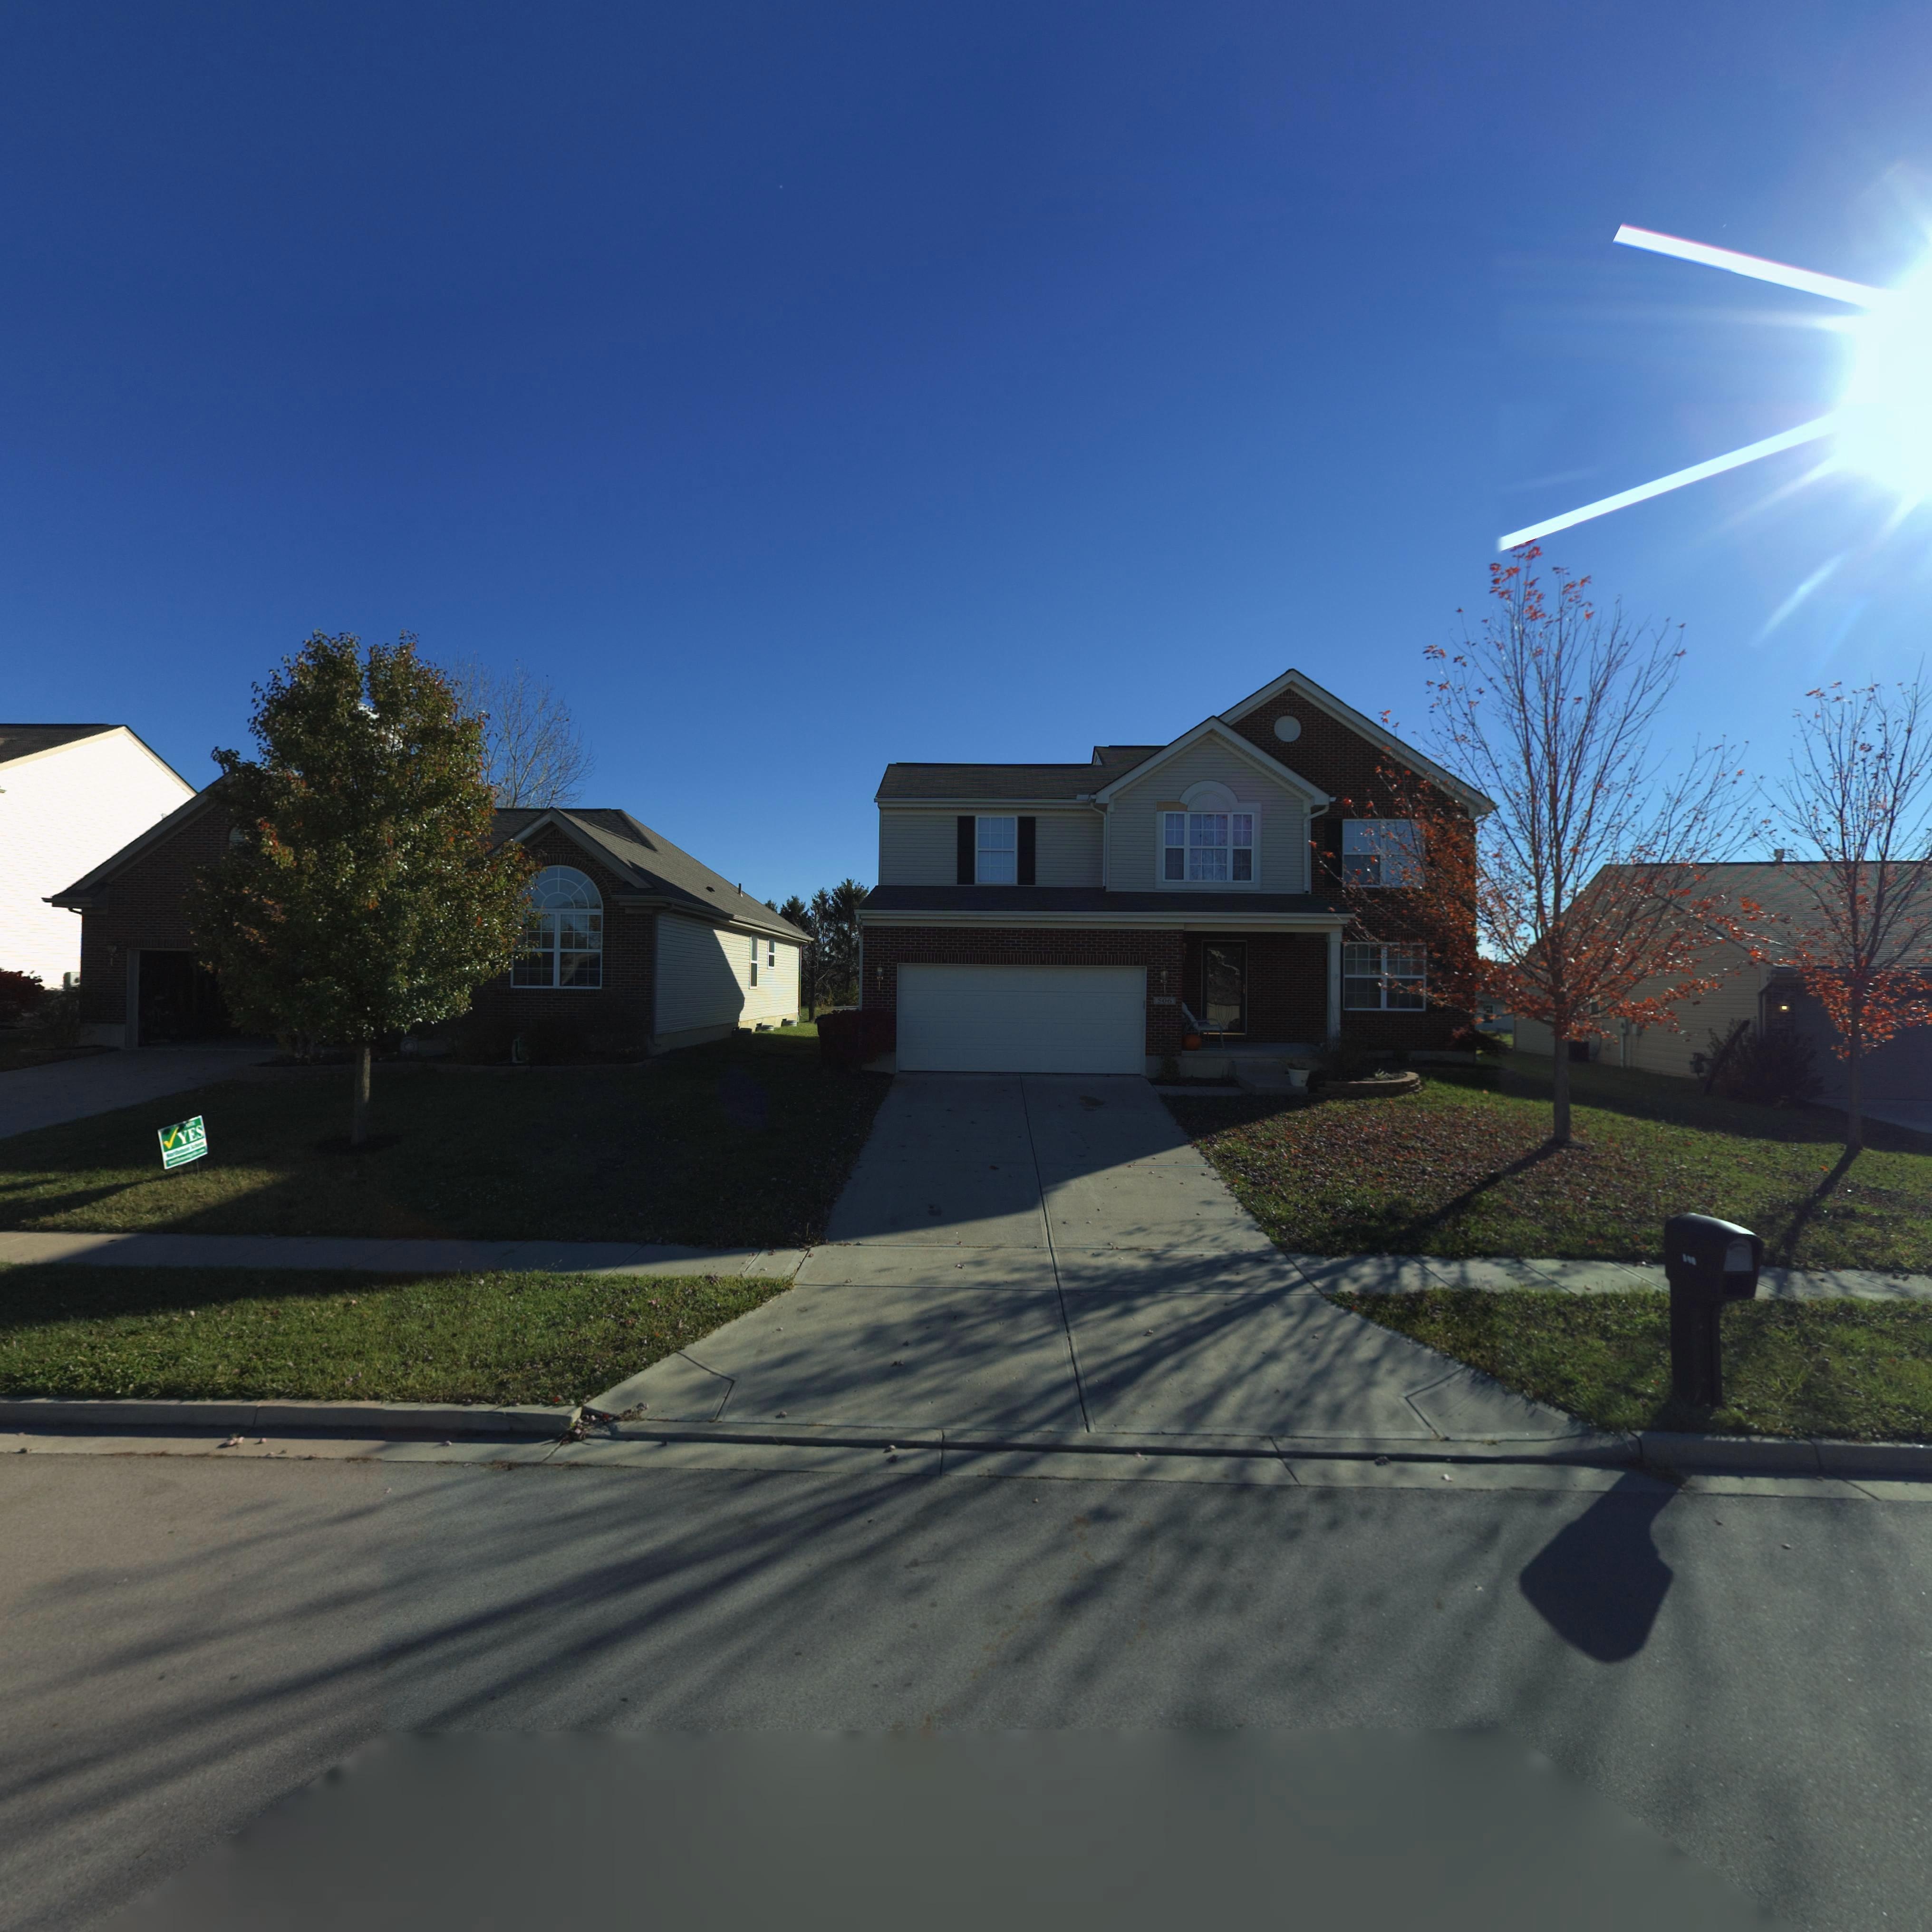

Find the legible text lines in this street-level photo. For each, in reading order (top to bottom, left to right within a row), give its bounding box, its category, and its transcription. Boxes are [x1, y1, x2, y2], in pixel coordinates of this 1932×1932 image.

[1157, 997, 1174, 1005] StreetNumber: 506
[176, 1124, 205, 1145] None: YES